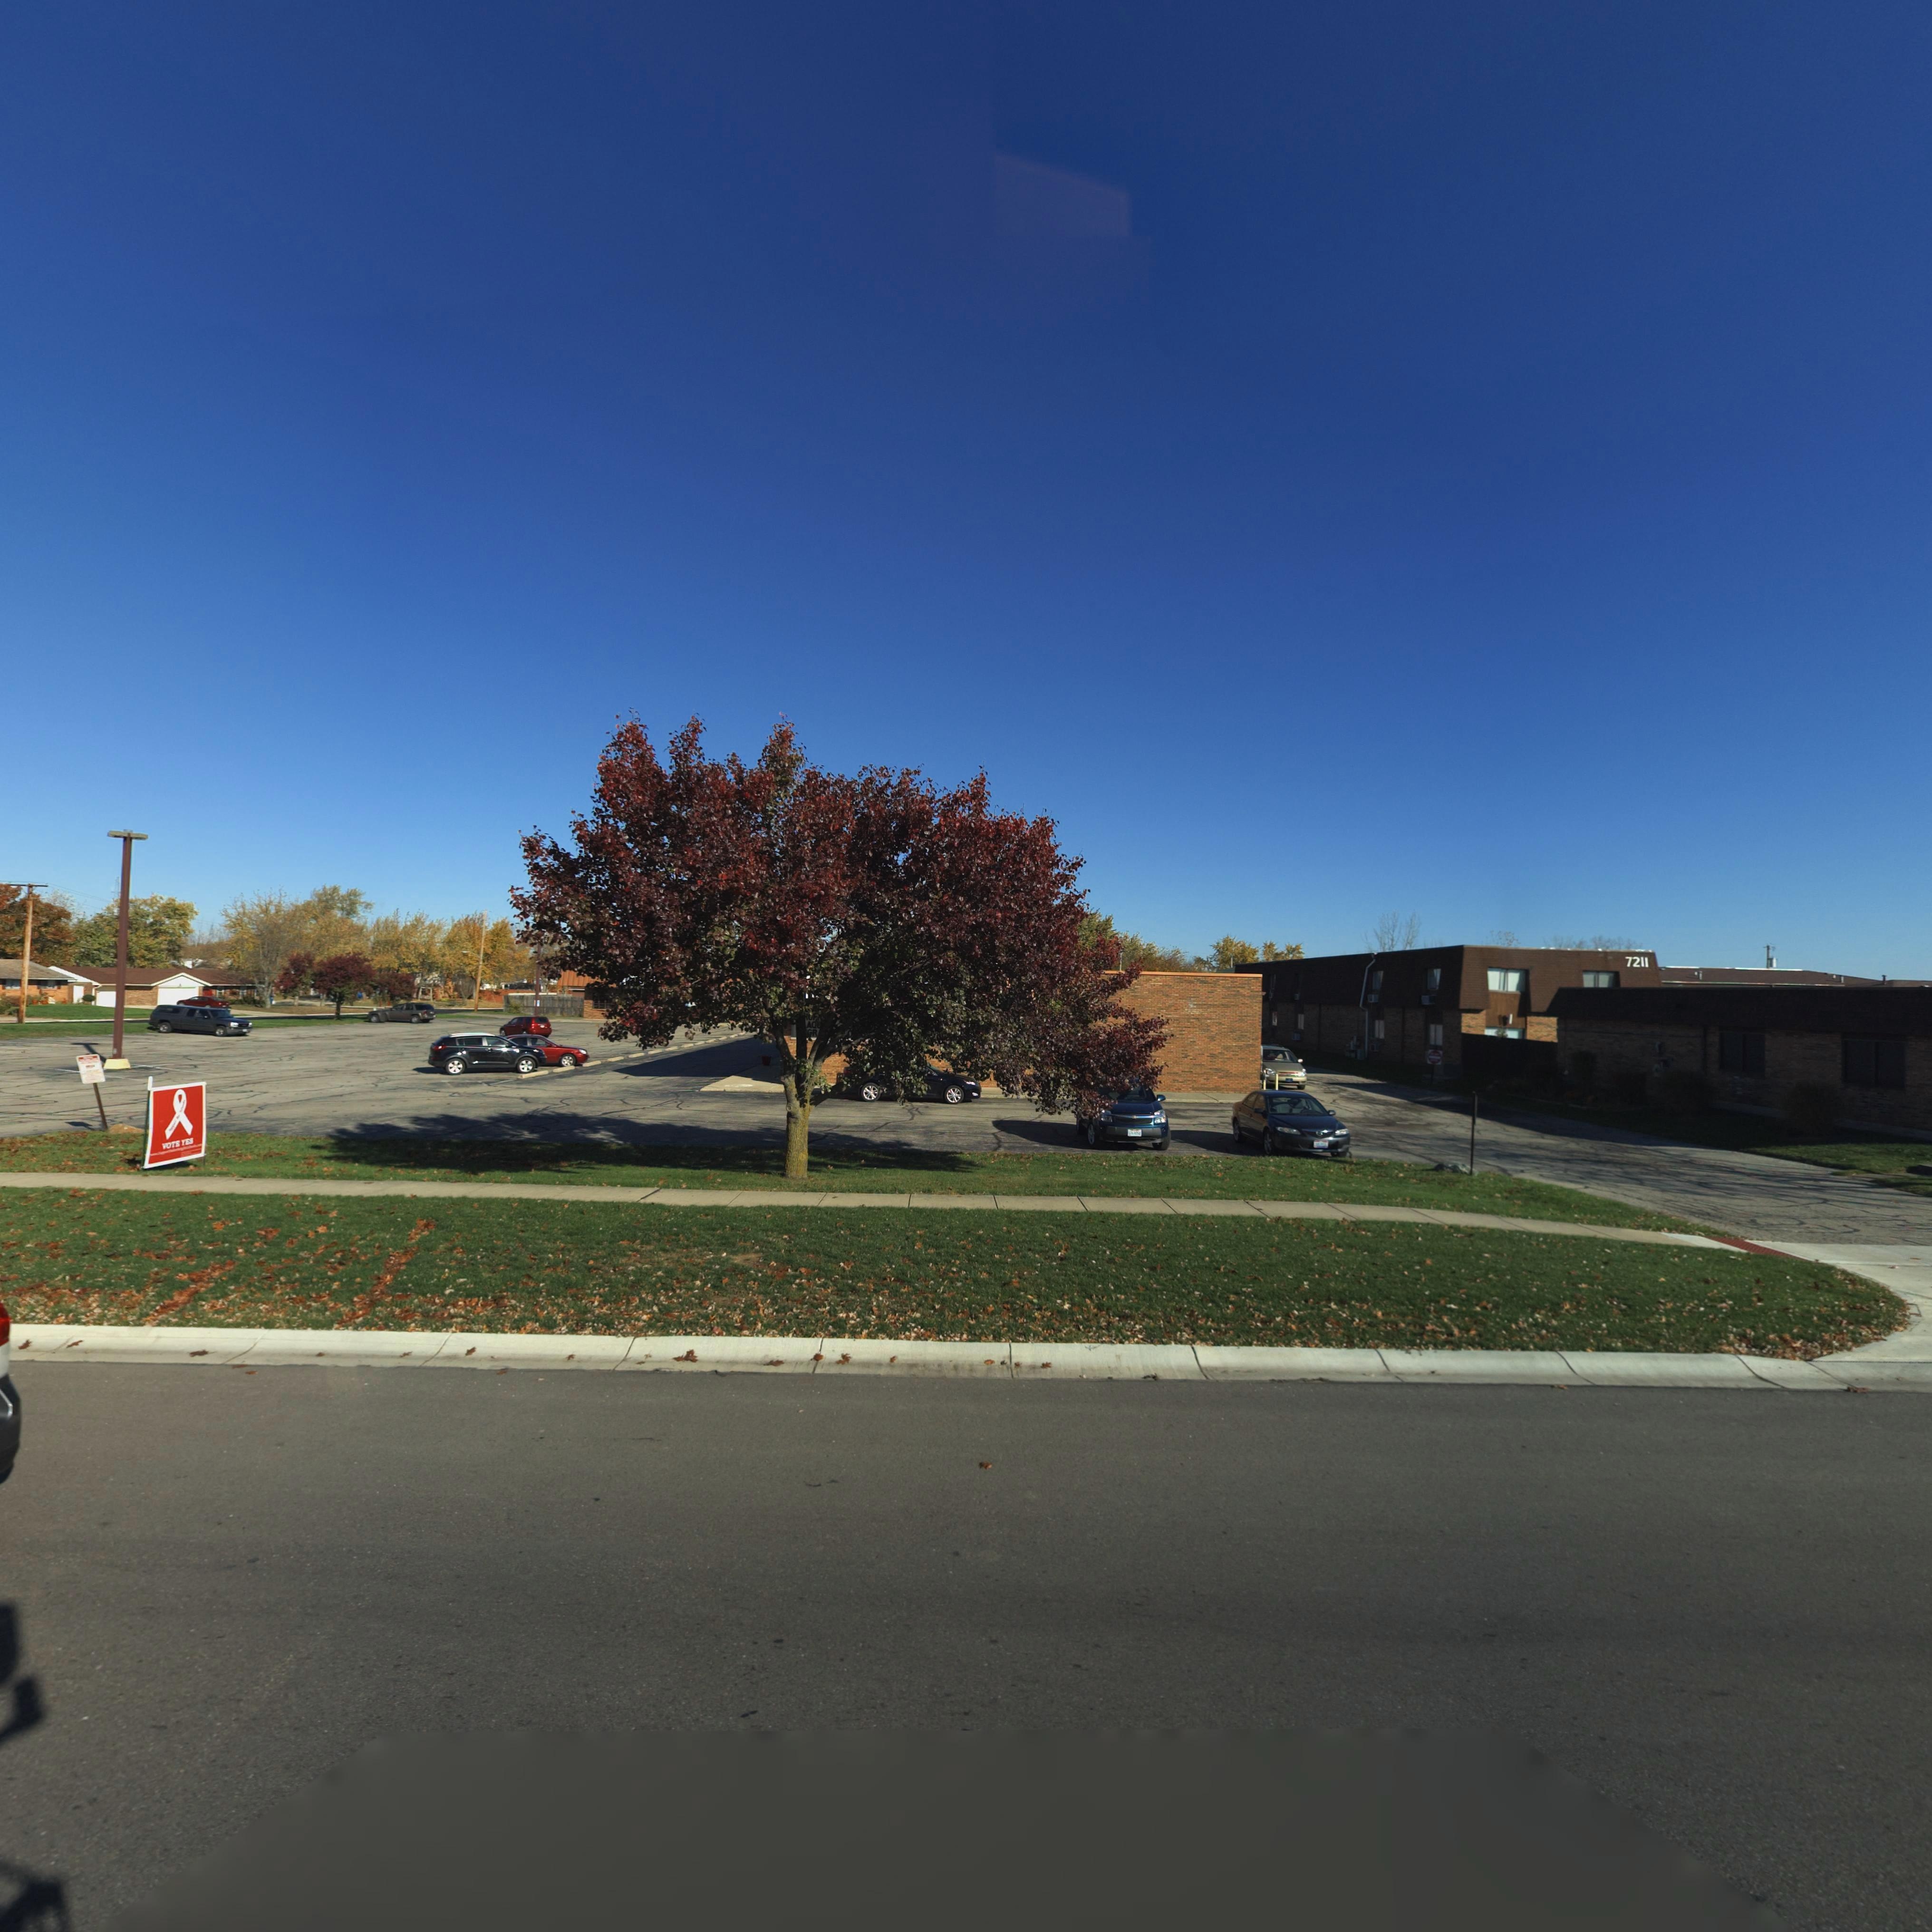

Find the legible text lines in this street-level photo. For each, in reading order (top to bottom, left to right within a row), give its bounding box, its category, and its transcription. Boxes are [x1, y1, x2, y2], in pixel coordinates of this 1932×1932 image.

[1623, 956, 1650, 969] StreetNumber: 7211